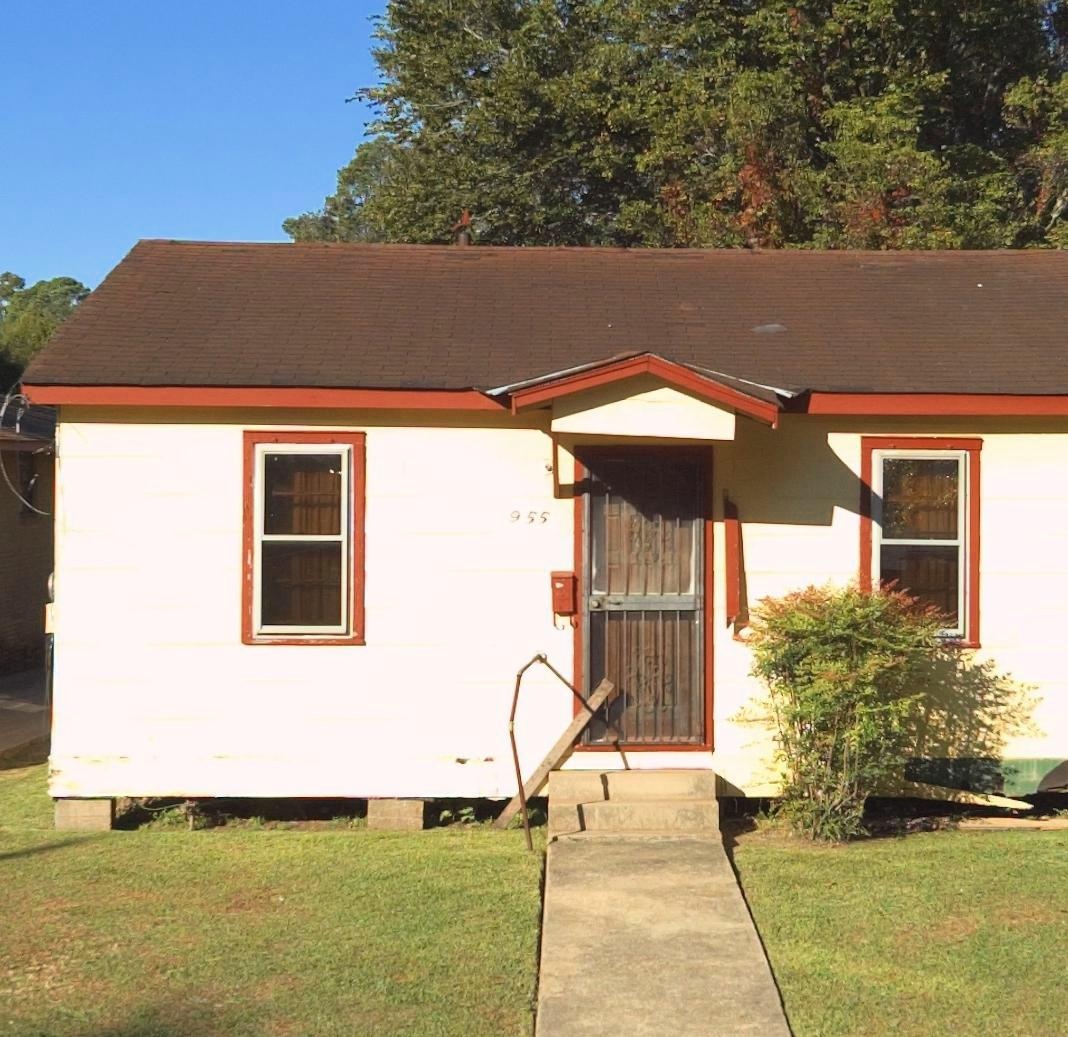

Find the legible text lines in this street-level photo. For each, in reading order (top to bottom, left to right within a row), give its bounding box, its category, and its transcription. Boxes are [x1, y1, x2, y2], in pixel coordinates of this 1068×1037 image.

[508, 509, 552, 526] StreetNumber: 955